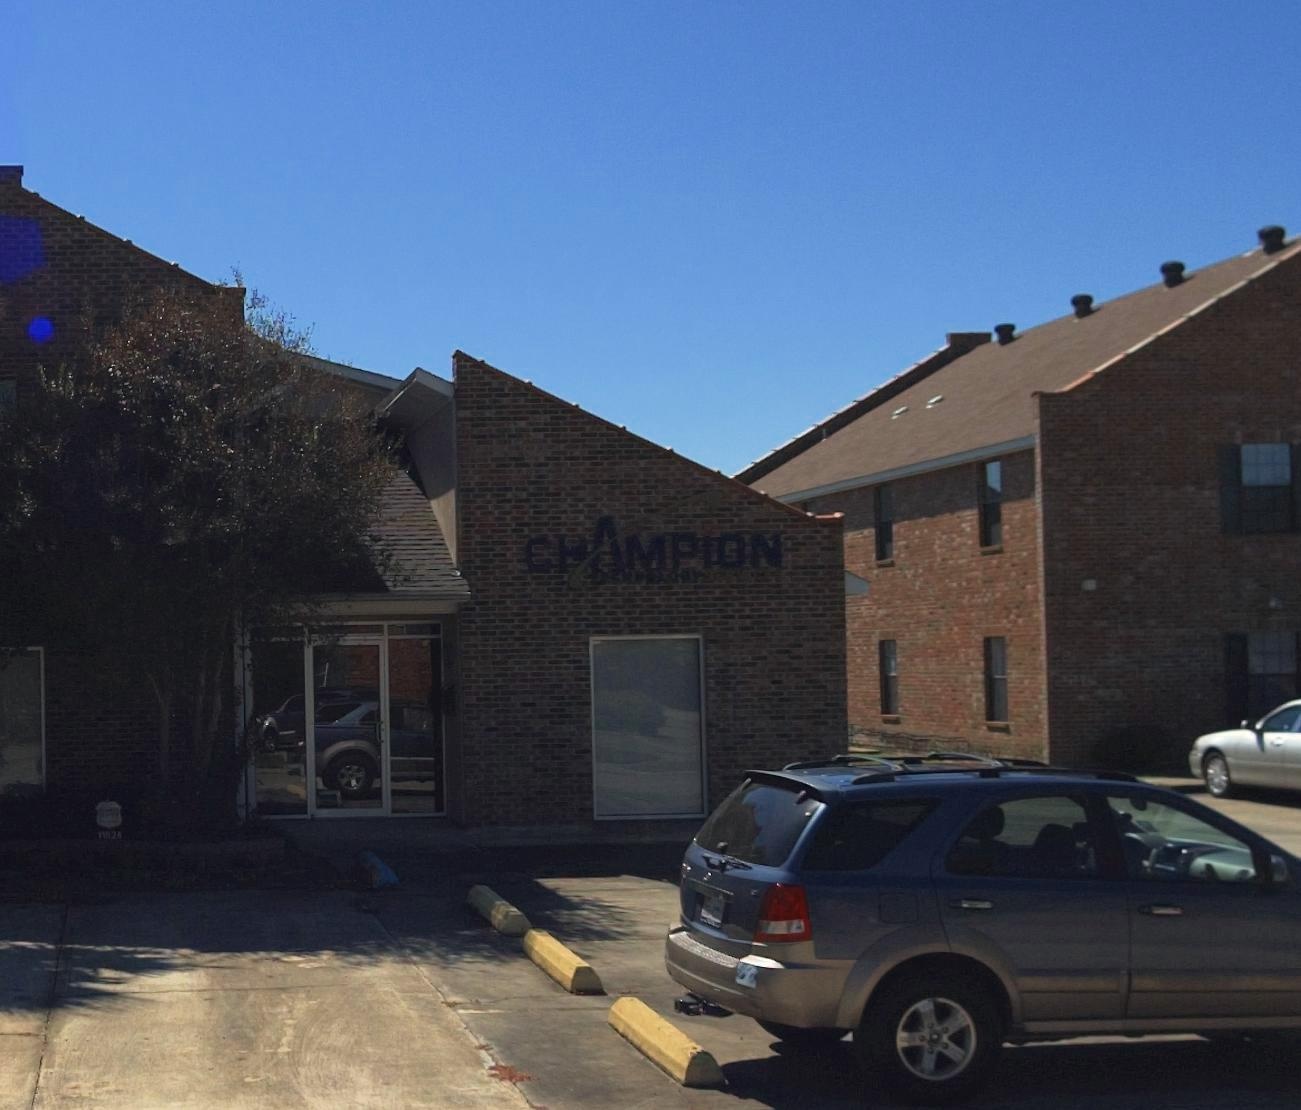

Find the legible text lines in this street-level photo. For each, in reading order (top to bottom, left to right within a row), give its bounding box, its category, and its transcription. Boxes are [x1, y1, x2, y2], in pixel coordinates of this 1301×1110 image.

[523, 510, 786, 577] BusinessName: CH*MPION
[95, 829, 125, 841] None: ***24